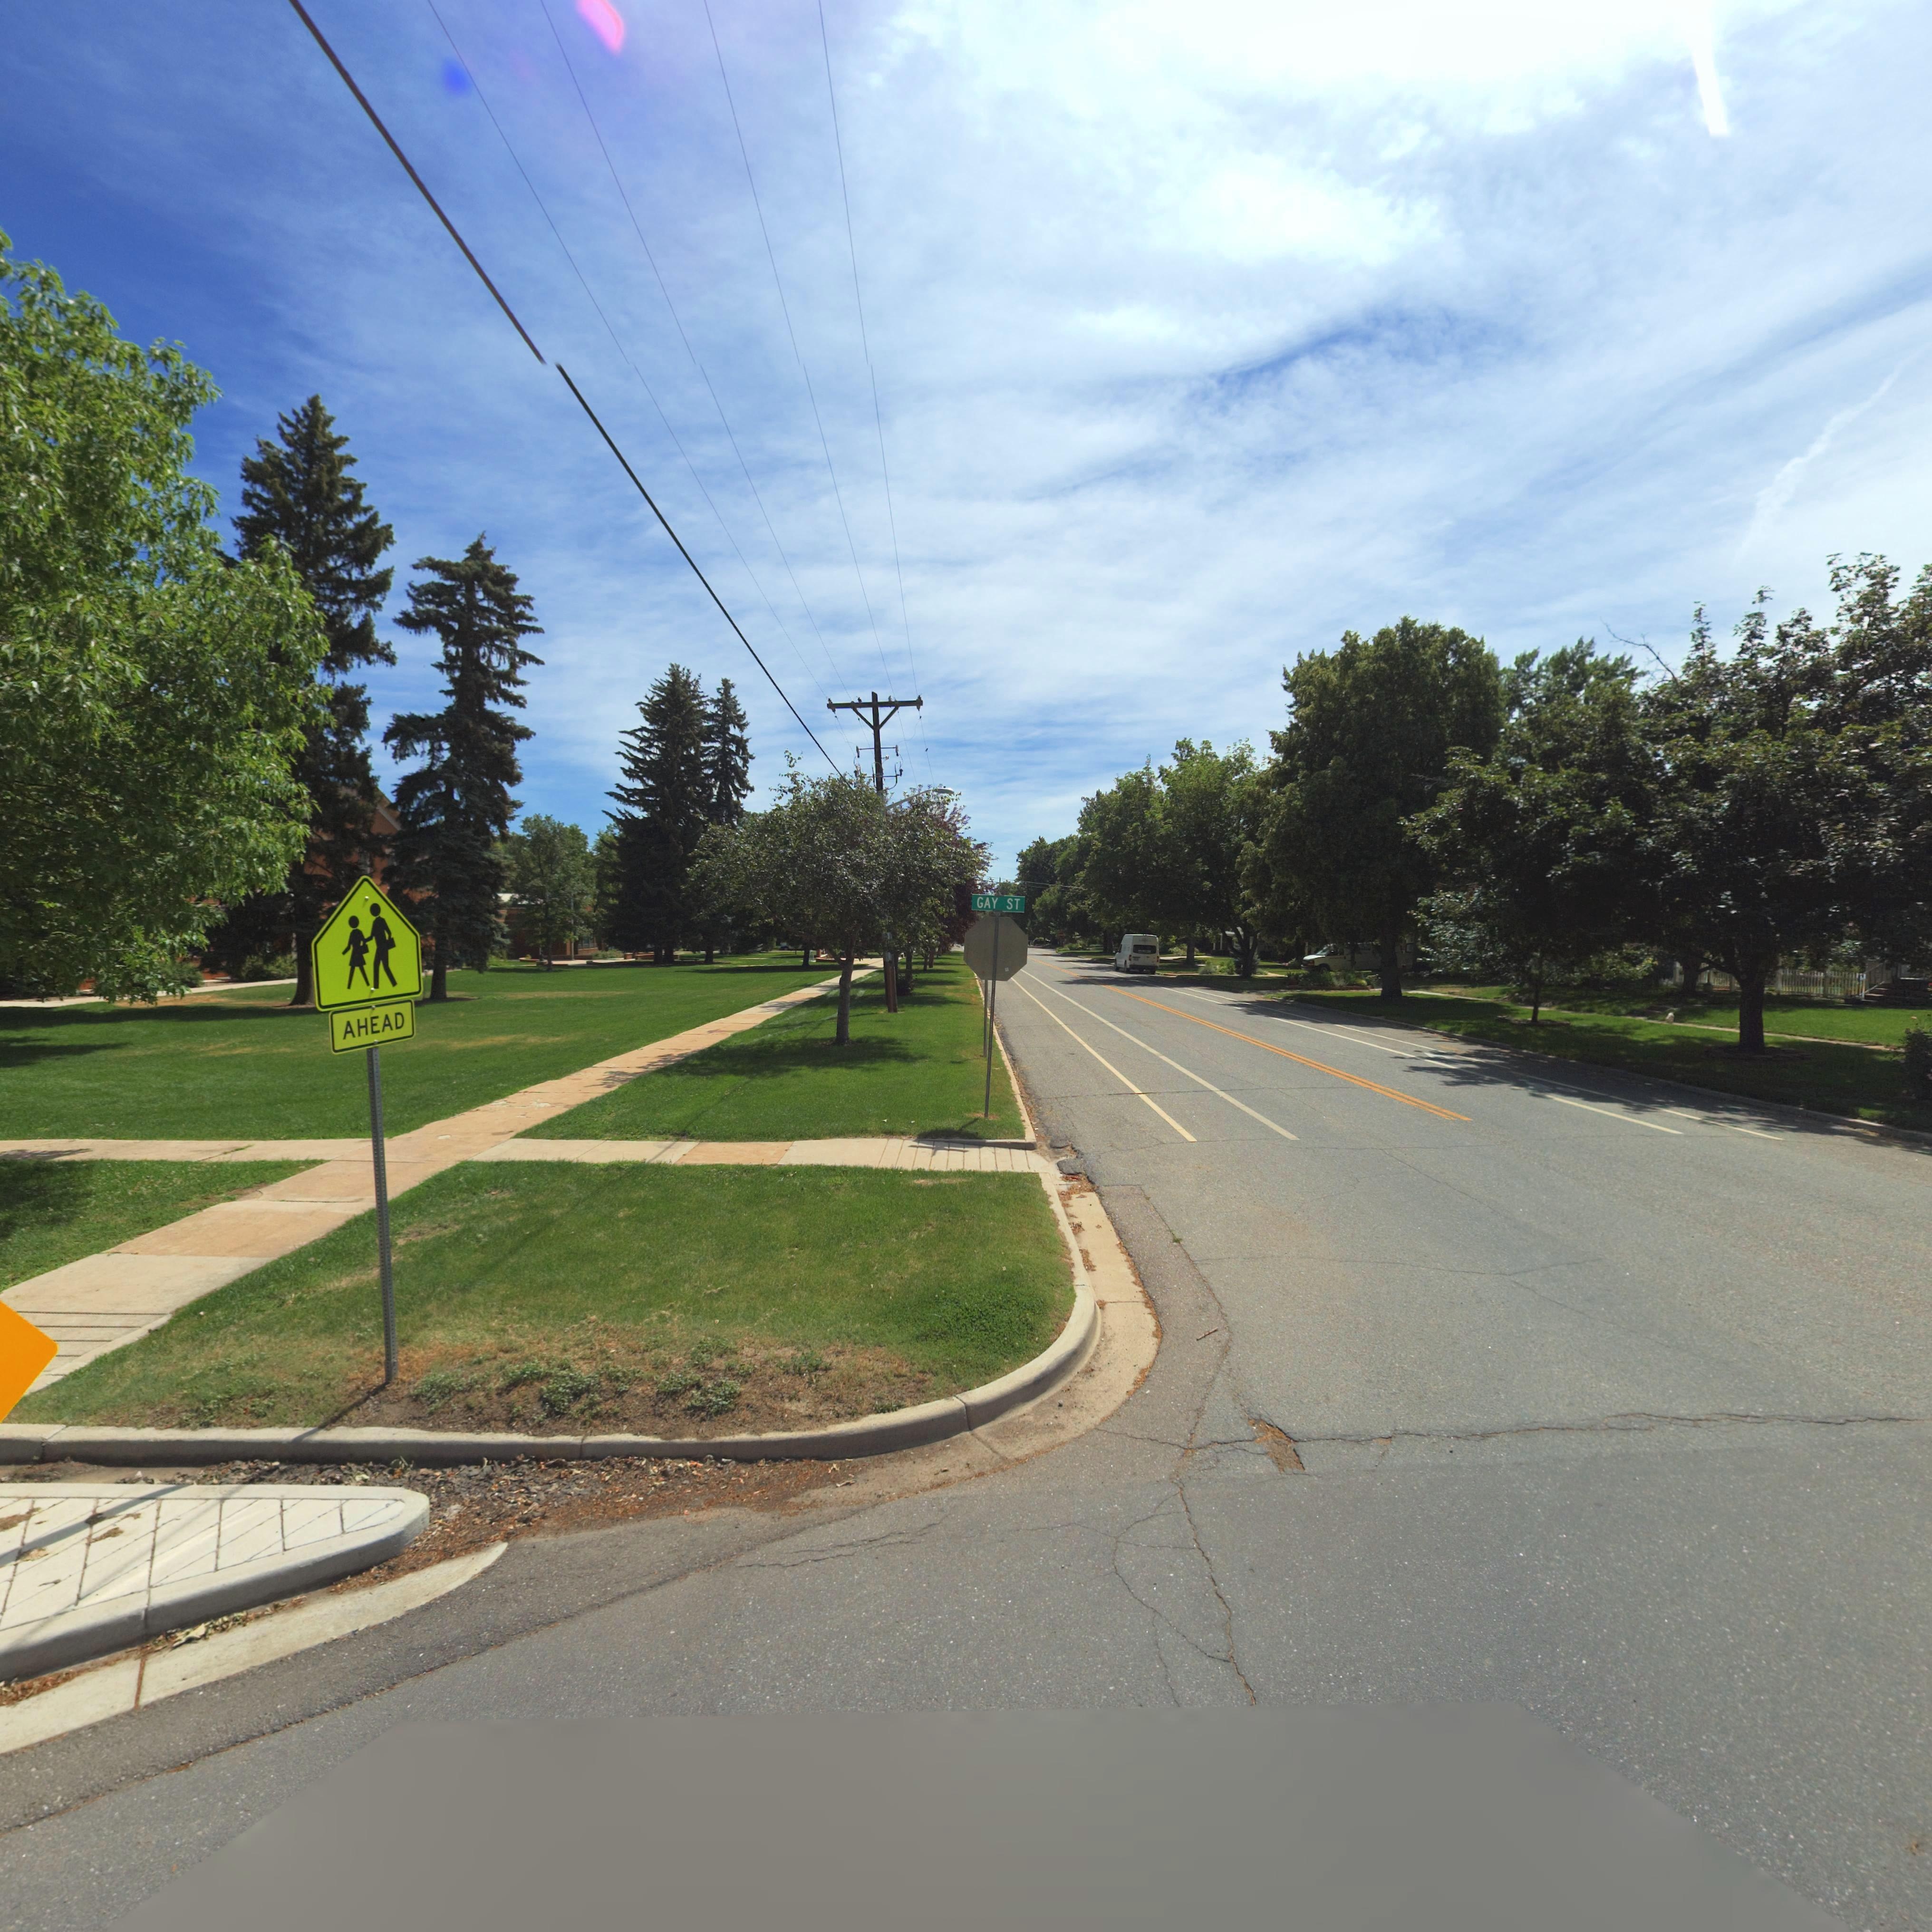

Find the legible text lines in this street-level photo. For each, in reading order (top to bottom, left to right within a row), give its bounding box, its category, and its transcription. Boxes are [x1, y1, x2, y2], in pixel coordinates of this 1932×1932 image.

[976, 897, 1020, 909] StreetName: GAY ST